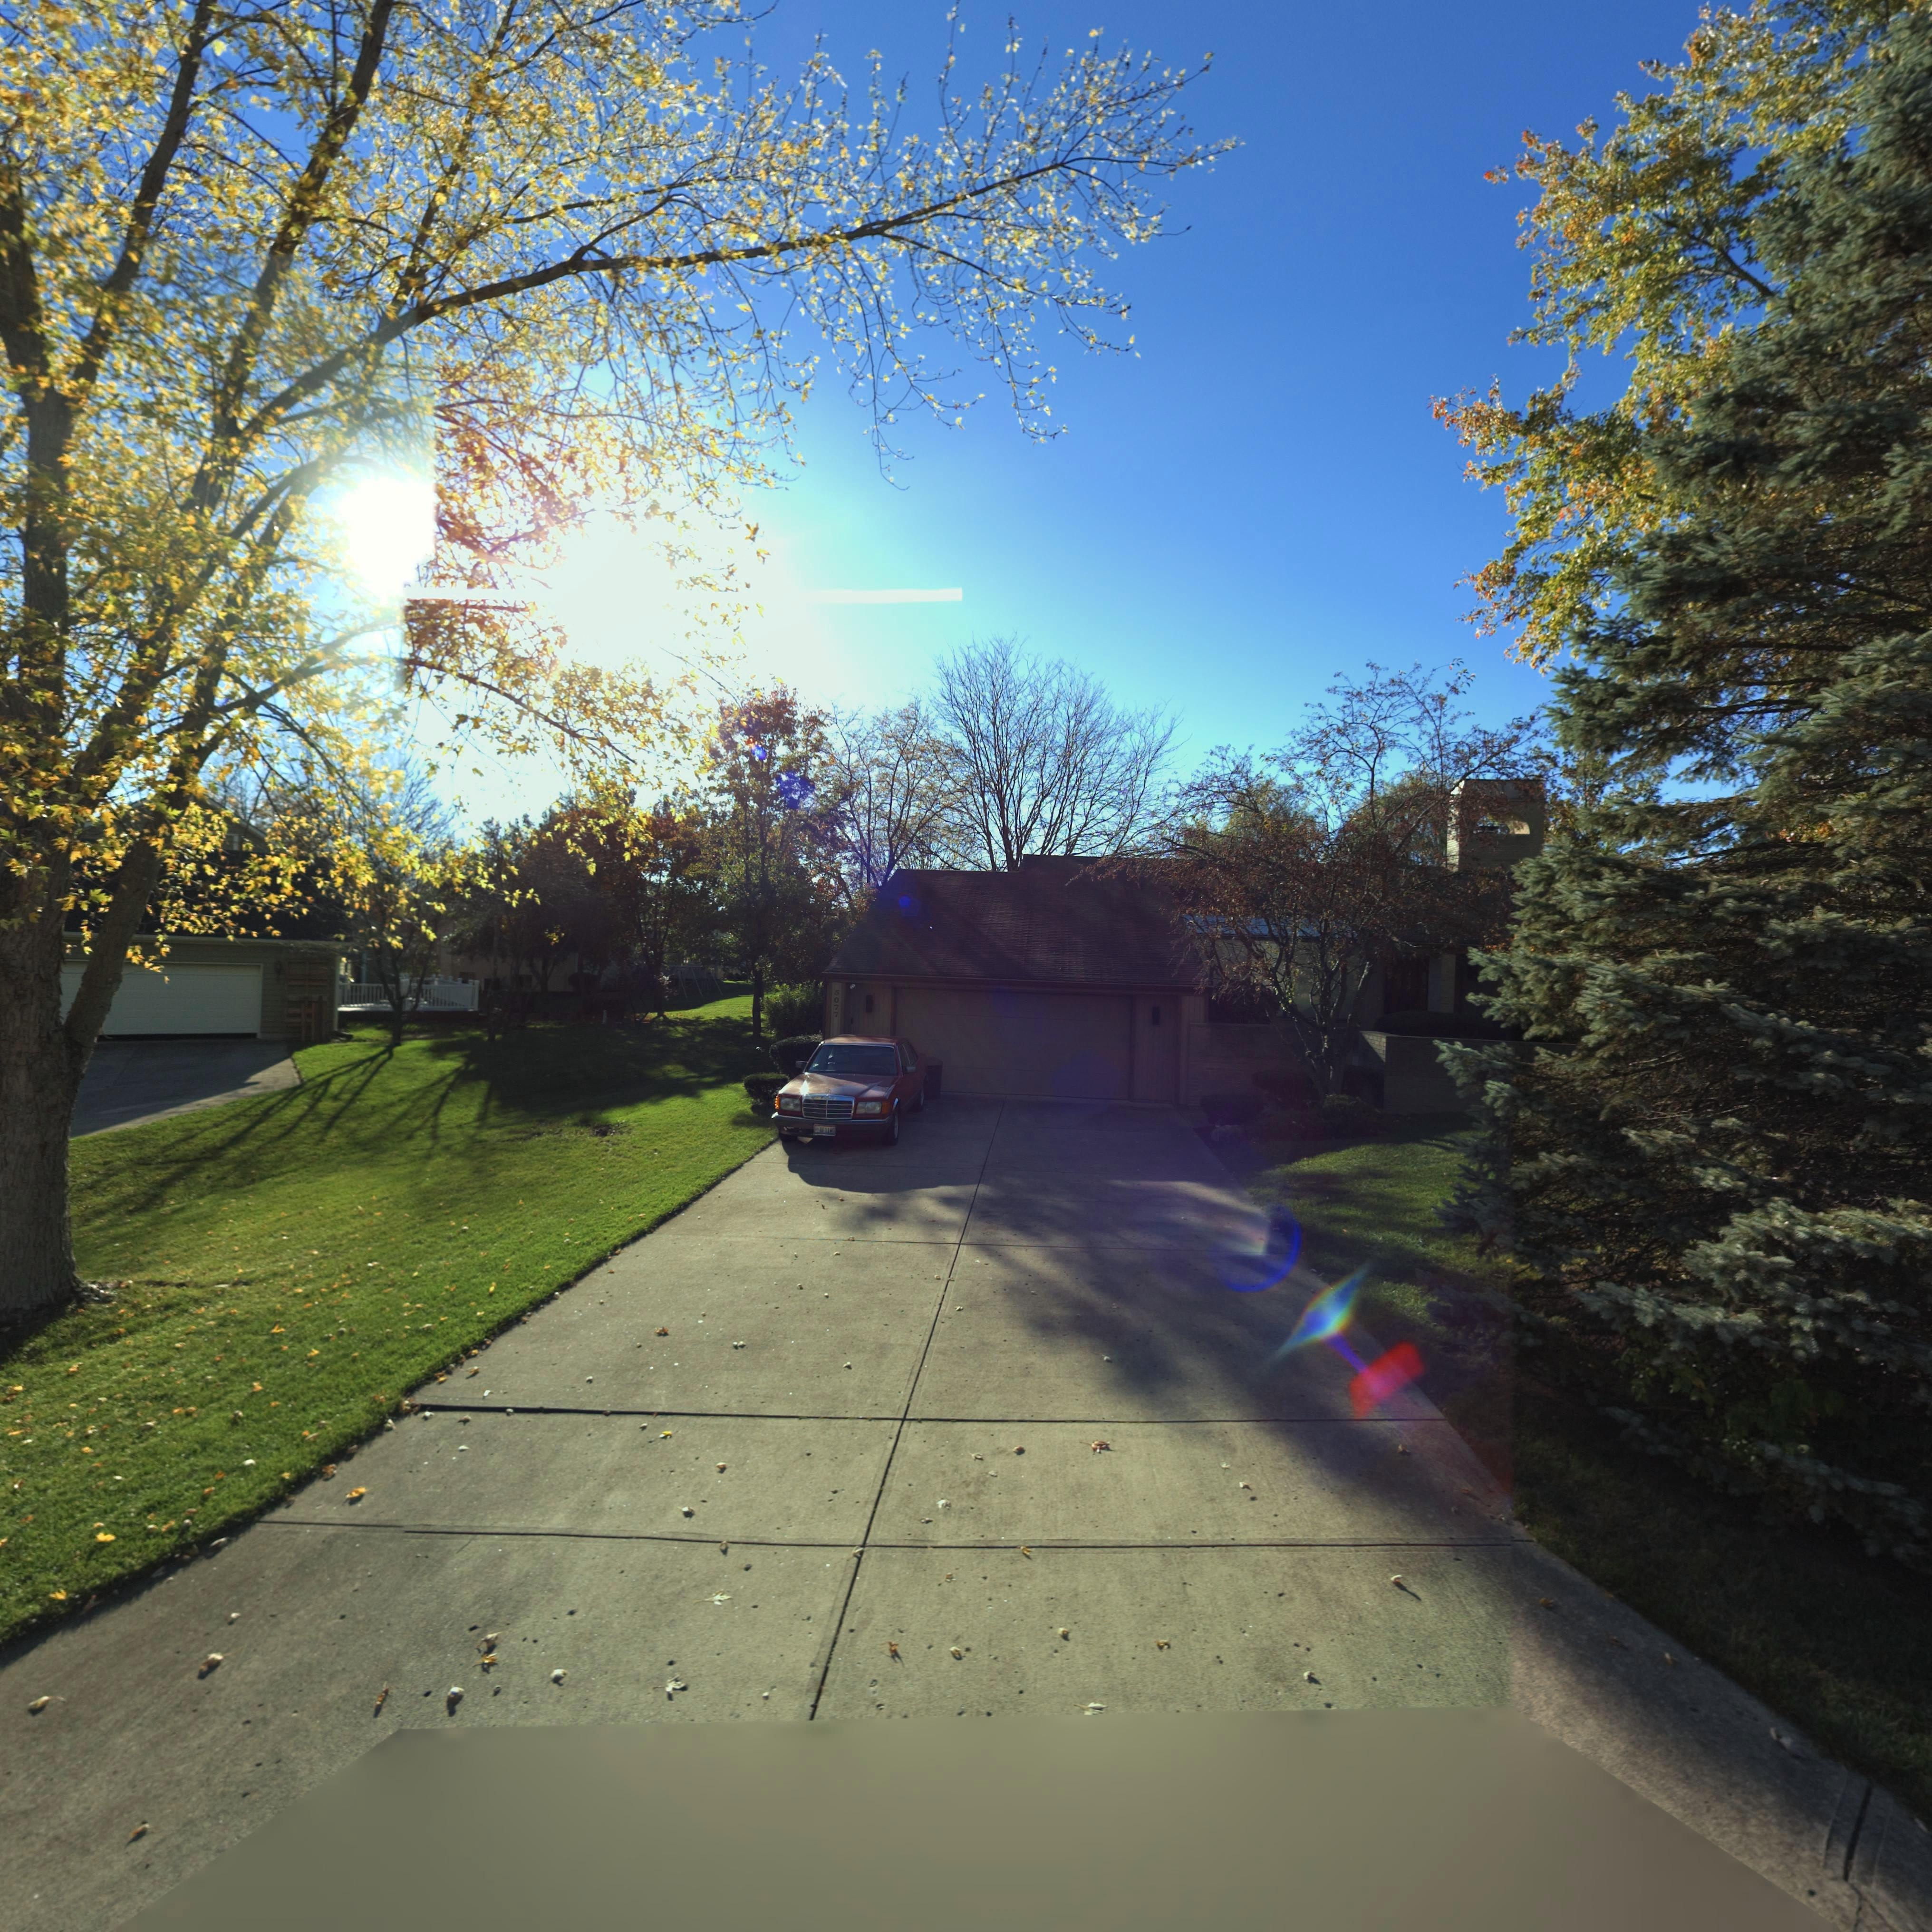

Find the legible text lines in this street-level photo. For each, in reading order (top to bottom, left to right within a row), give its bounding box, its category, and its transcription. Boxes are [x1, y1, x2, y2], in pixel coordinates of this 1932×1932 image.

[832, 988, 840, 1018] StreetNumber: 5077